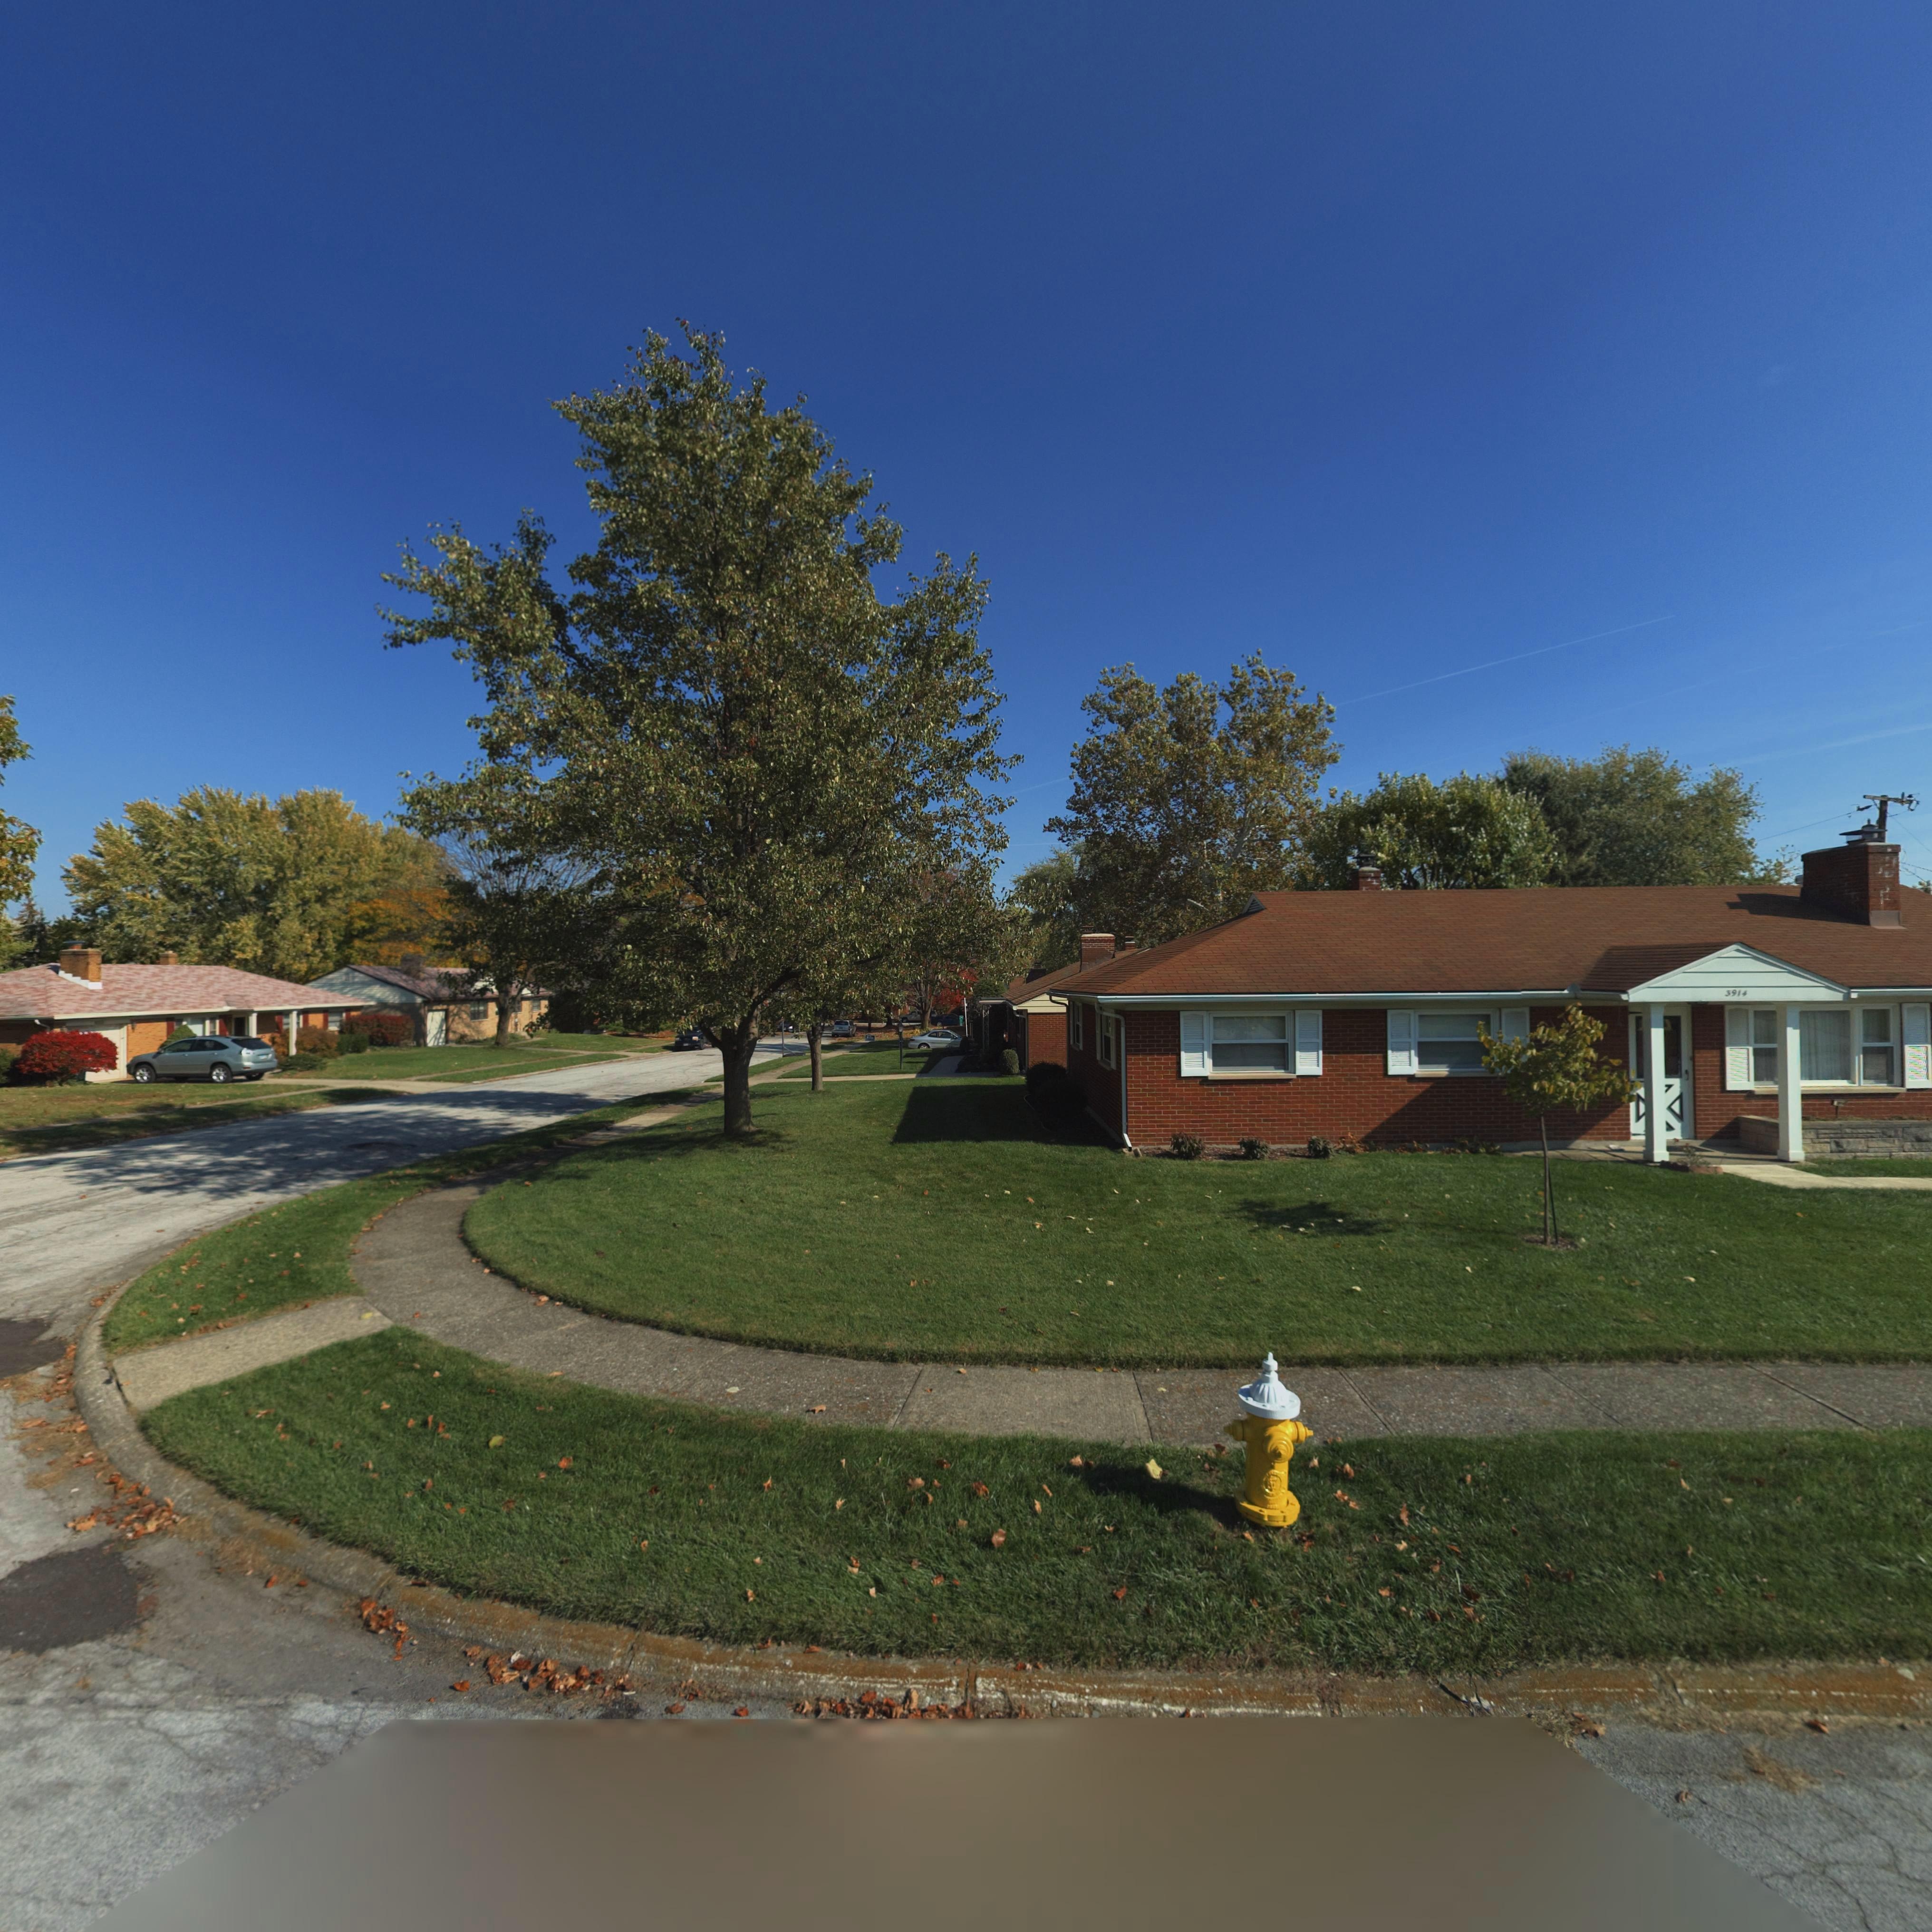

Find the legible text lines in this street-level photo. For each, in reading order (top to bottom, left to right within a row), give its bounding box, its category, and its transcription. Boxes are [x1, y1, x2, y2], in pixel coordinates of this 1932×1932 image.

[1724, 990, 1749, 997] StreetNumber: 3914